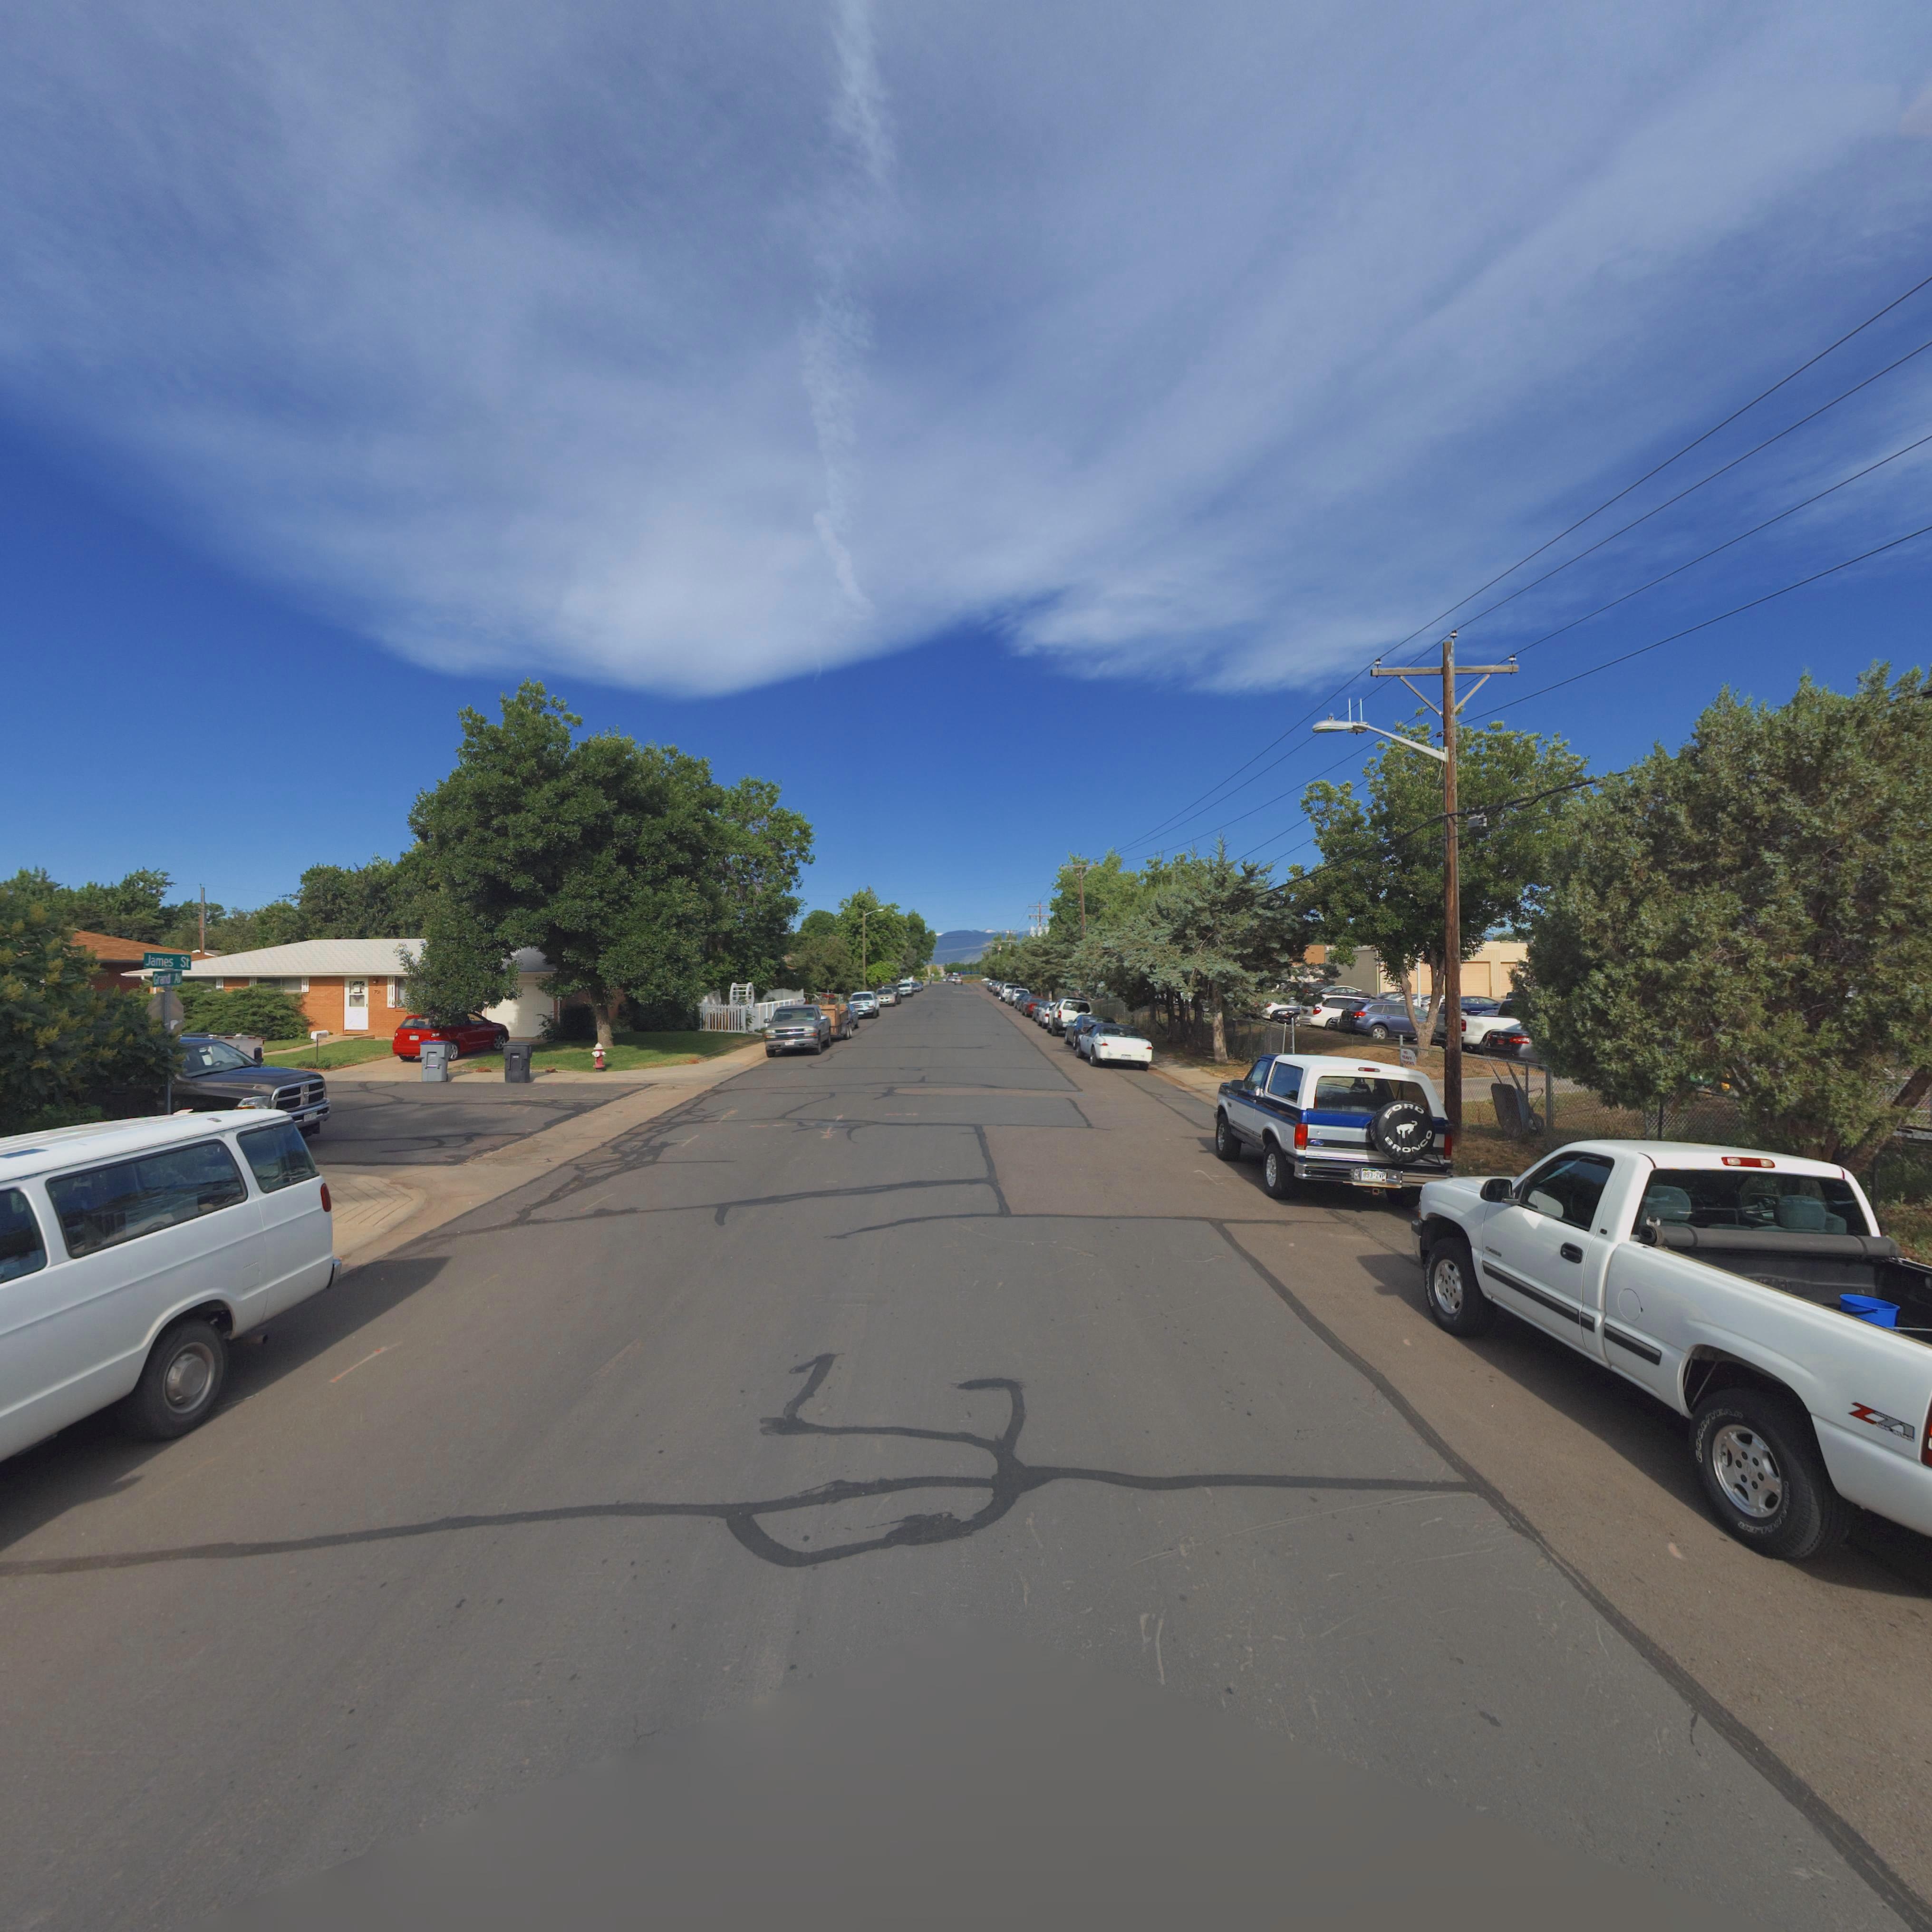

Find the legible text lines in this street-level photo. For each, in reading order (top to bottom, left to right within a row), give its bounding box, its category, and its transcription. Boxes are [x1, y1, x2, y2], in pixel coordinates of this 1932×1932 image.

[145, 954, 190, 968] StreetName: James St
[152, 971, 181, 985] StreetName: Grand Av
[373, 990, 381, 995] StreetNumber: 70*